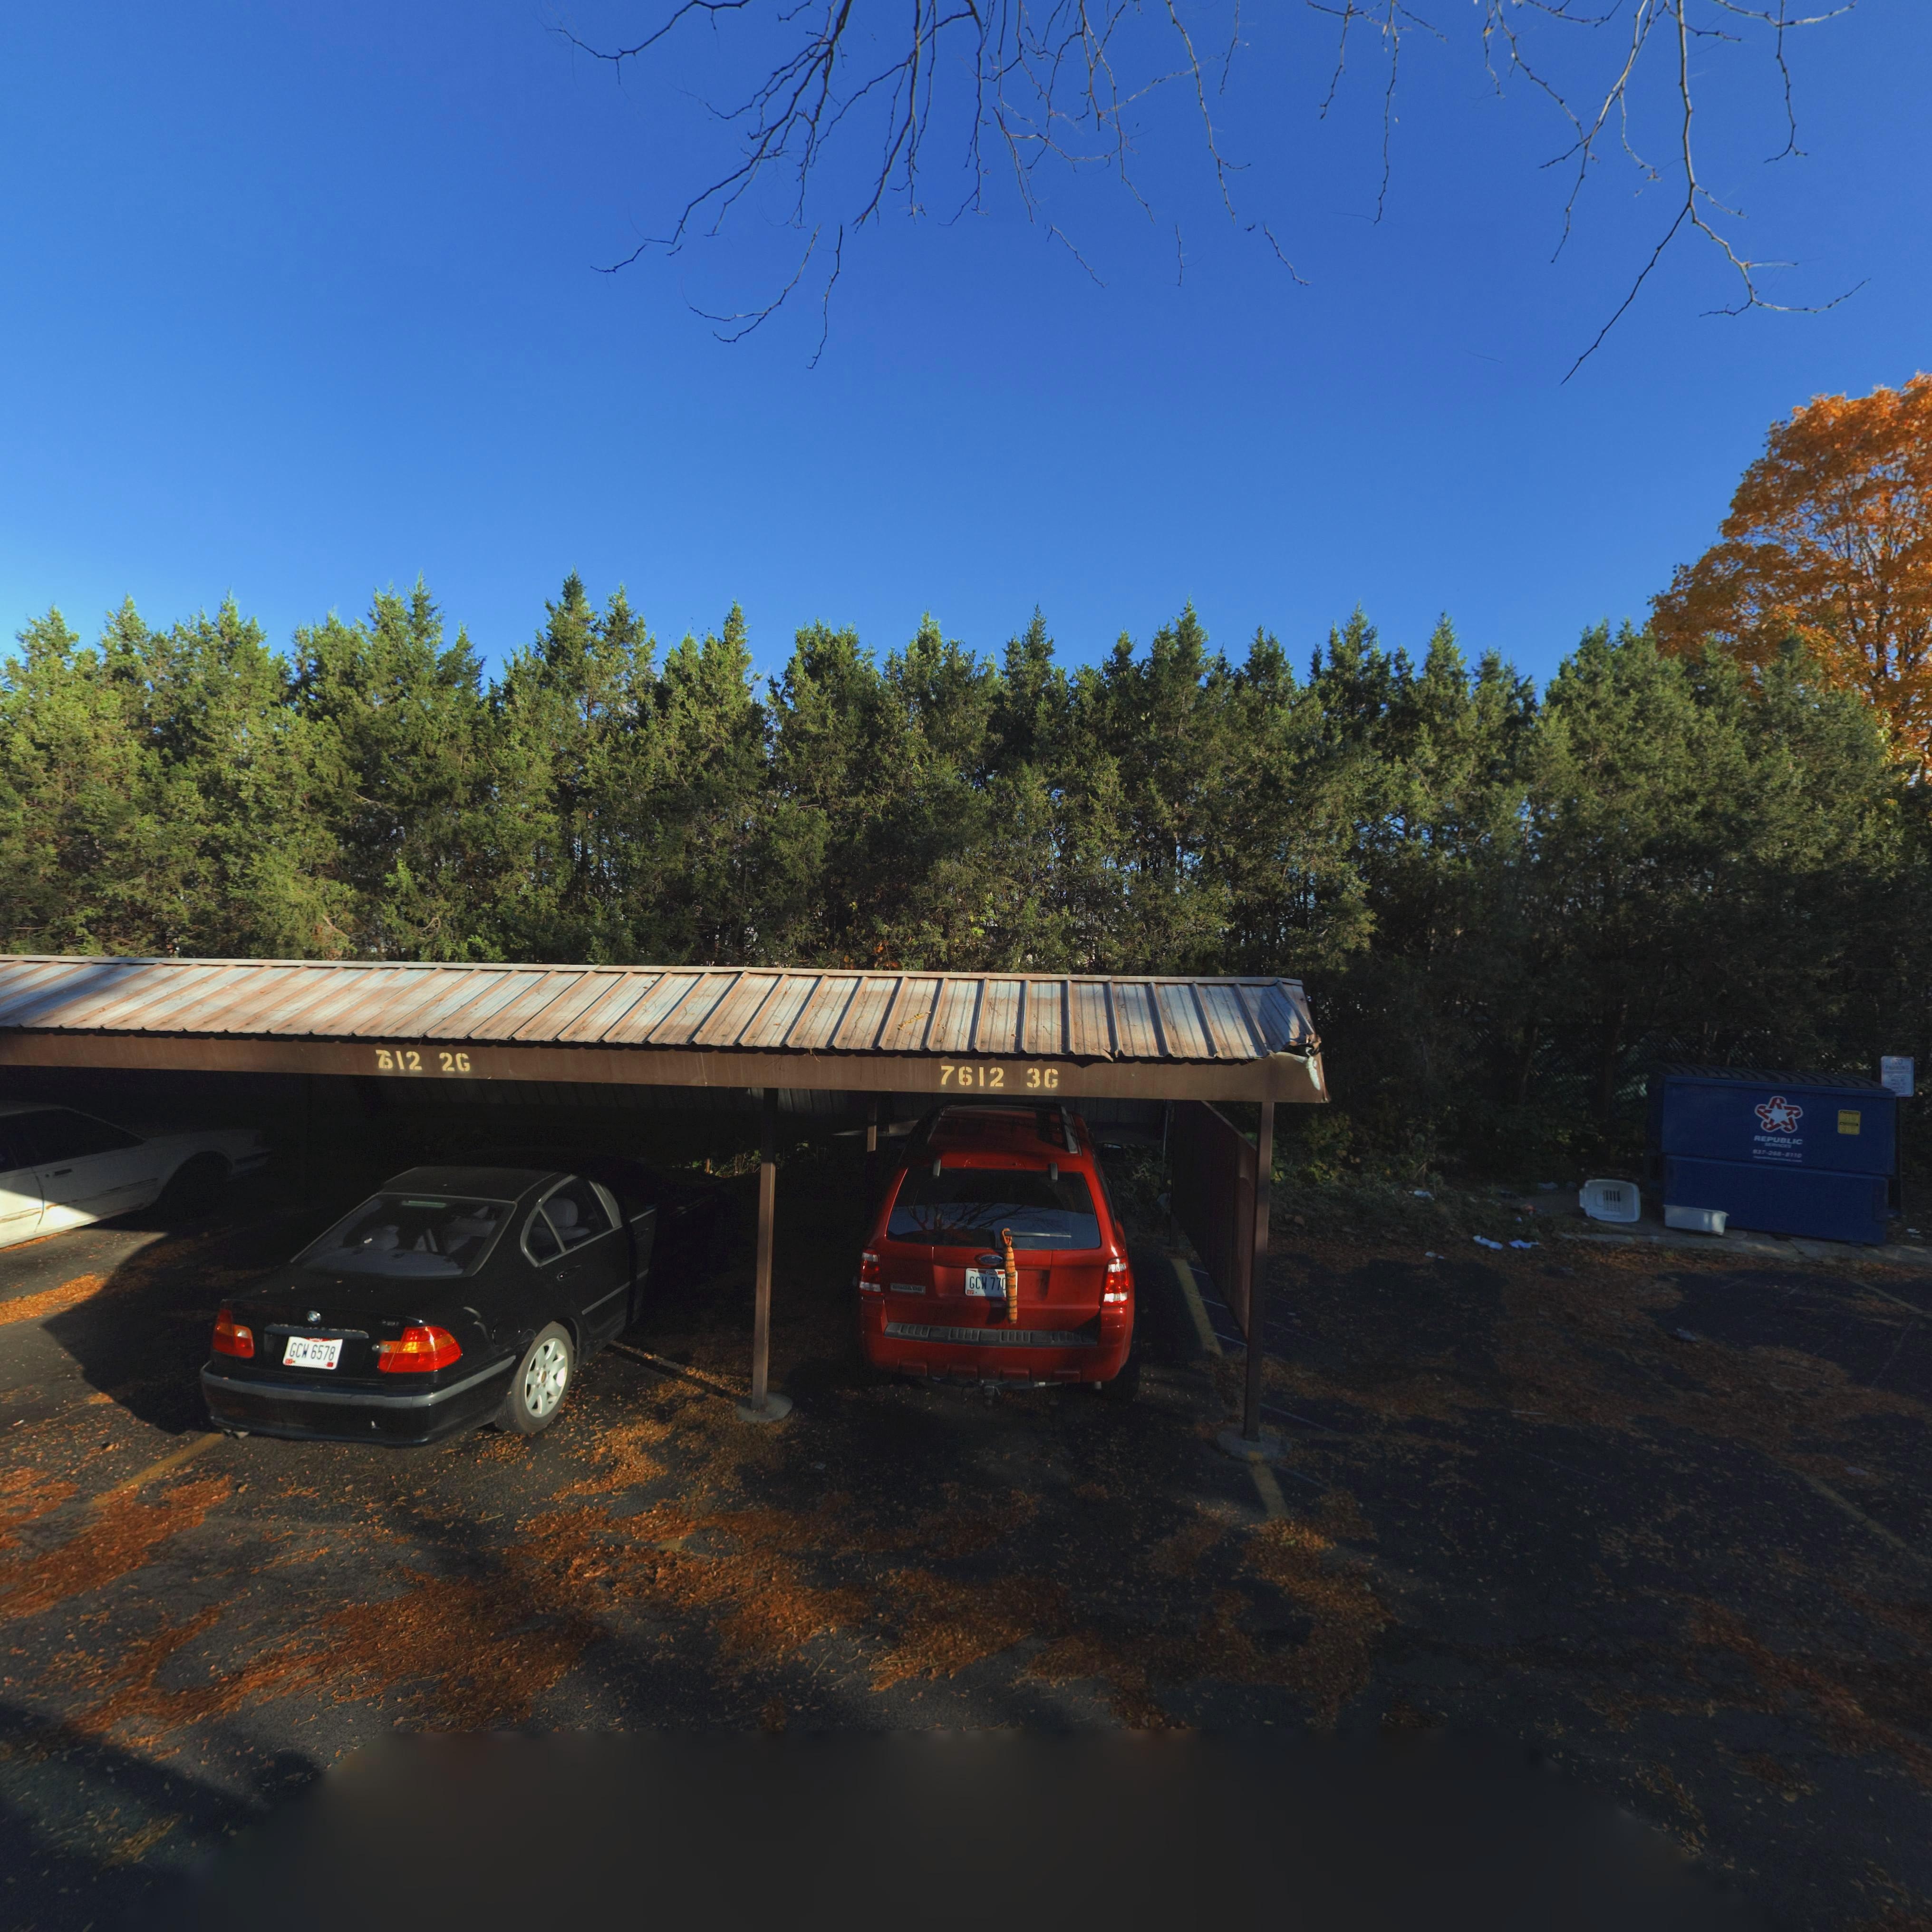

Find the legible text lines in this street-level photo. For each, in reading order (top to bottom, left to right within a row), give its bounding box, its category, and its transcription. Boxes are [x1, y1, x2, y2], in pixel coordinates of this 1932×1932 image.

[394, 1050, 423, 1071] StreetNumber: 12
[940, 1065, 1005, 1088] StreetNumber: 7612